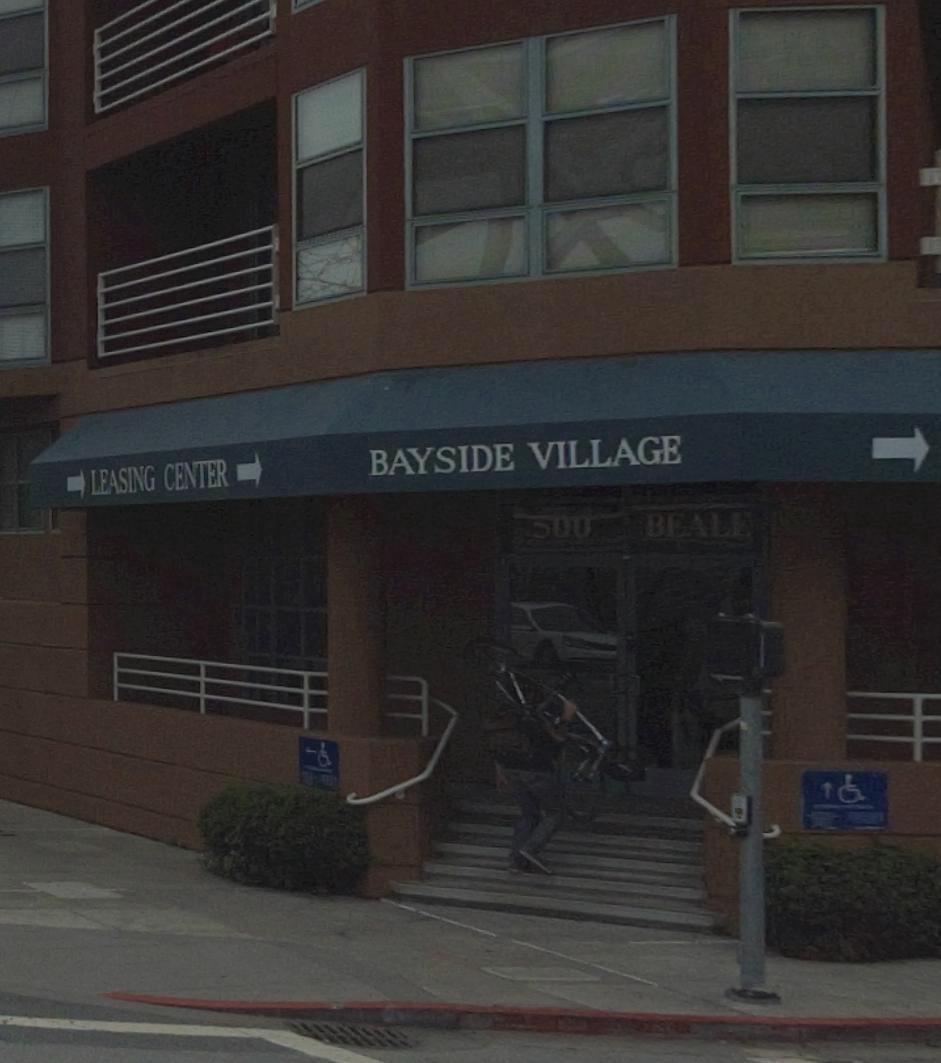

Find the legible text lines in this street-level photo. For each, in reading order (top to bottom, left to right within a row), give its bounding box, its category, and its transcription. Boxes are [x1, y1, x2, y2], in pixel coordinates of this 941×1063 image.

[366, 432, 685, 479] None: BAYSIDE VILLAGE
[88, 456, 233, 497] None: LEASING CENT
[532, 512, 595, 542] StreetNumber: 500
[643, 508, 757, 541] StreetName: BEALE